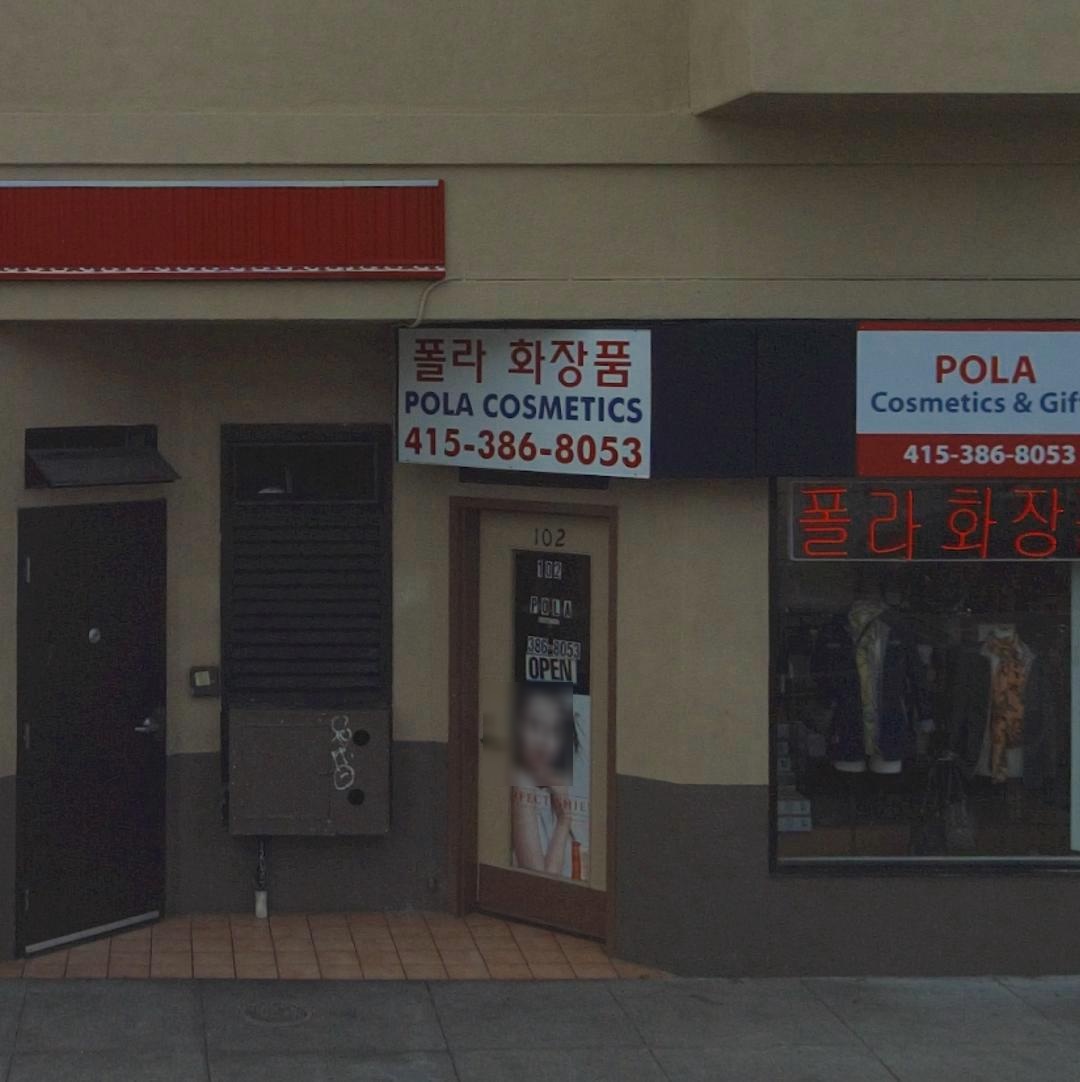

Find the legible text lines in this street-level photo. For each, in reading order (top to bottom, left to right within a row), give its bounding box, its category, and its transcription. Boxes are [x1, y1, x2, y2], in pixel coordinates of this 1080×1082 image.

[935, 353, 1040, 385] BusinessName: POLA
[403, 389, 646, 425] BusinessName: POLA COSMETICS
[870, 389, 1079, 415] BusinessName: Cosmetics & Gif
[402, 424, 643, 470] None: 415-386-8053
[901, 443, 1077, 465] None: 415-386-8053
[531, 525, 568, 548] StreetNumber: 102
[536, 559, 562, 579] StreetNumber: 102
[530, 595, 572, 618] BusinessName: POLA
[527, 635, 581, 660] None: 386-8053
[527, 654, 574, 683] None: OPEN